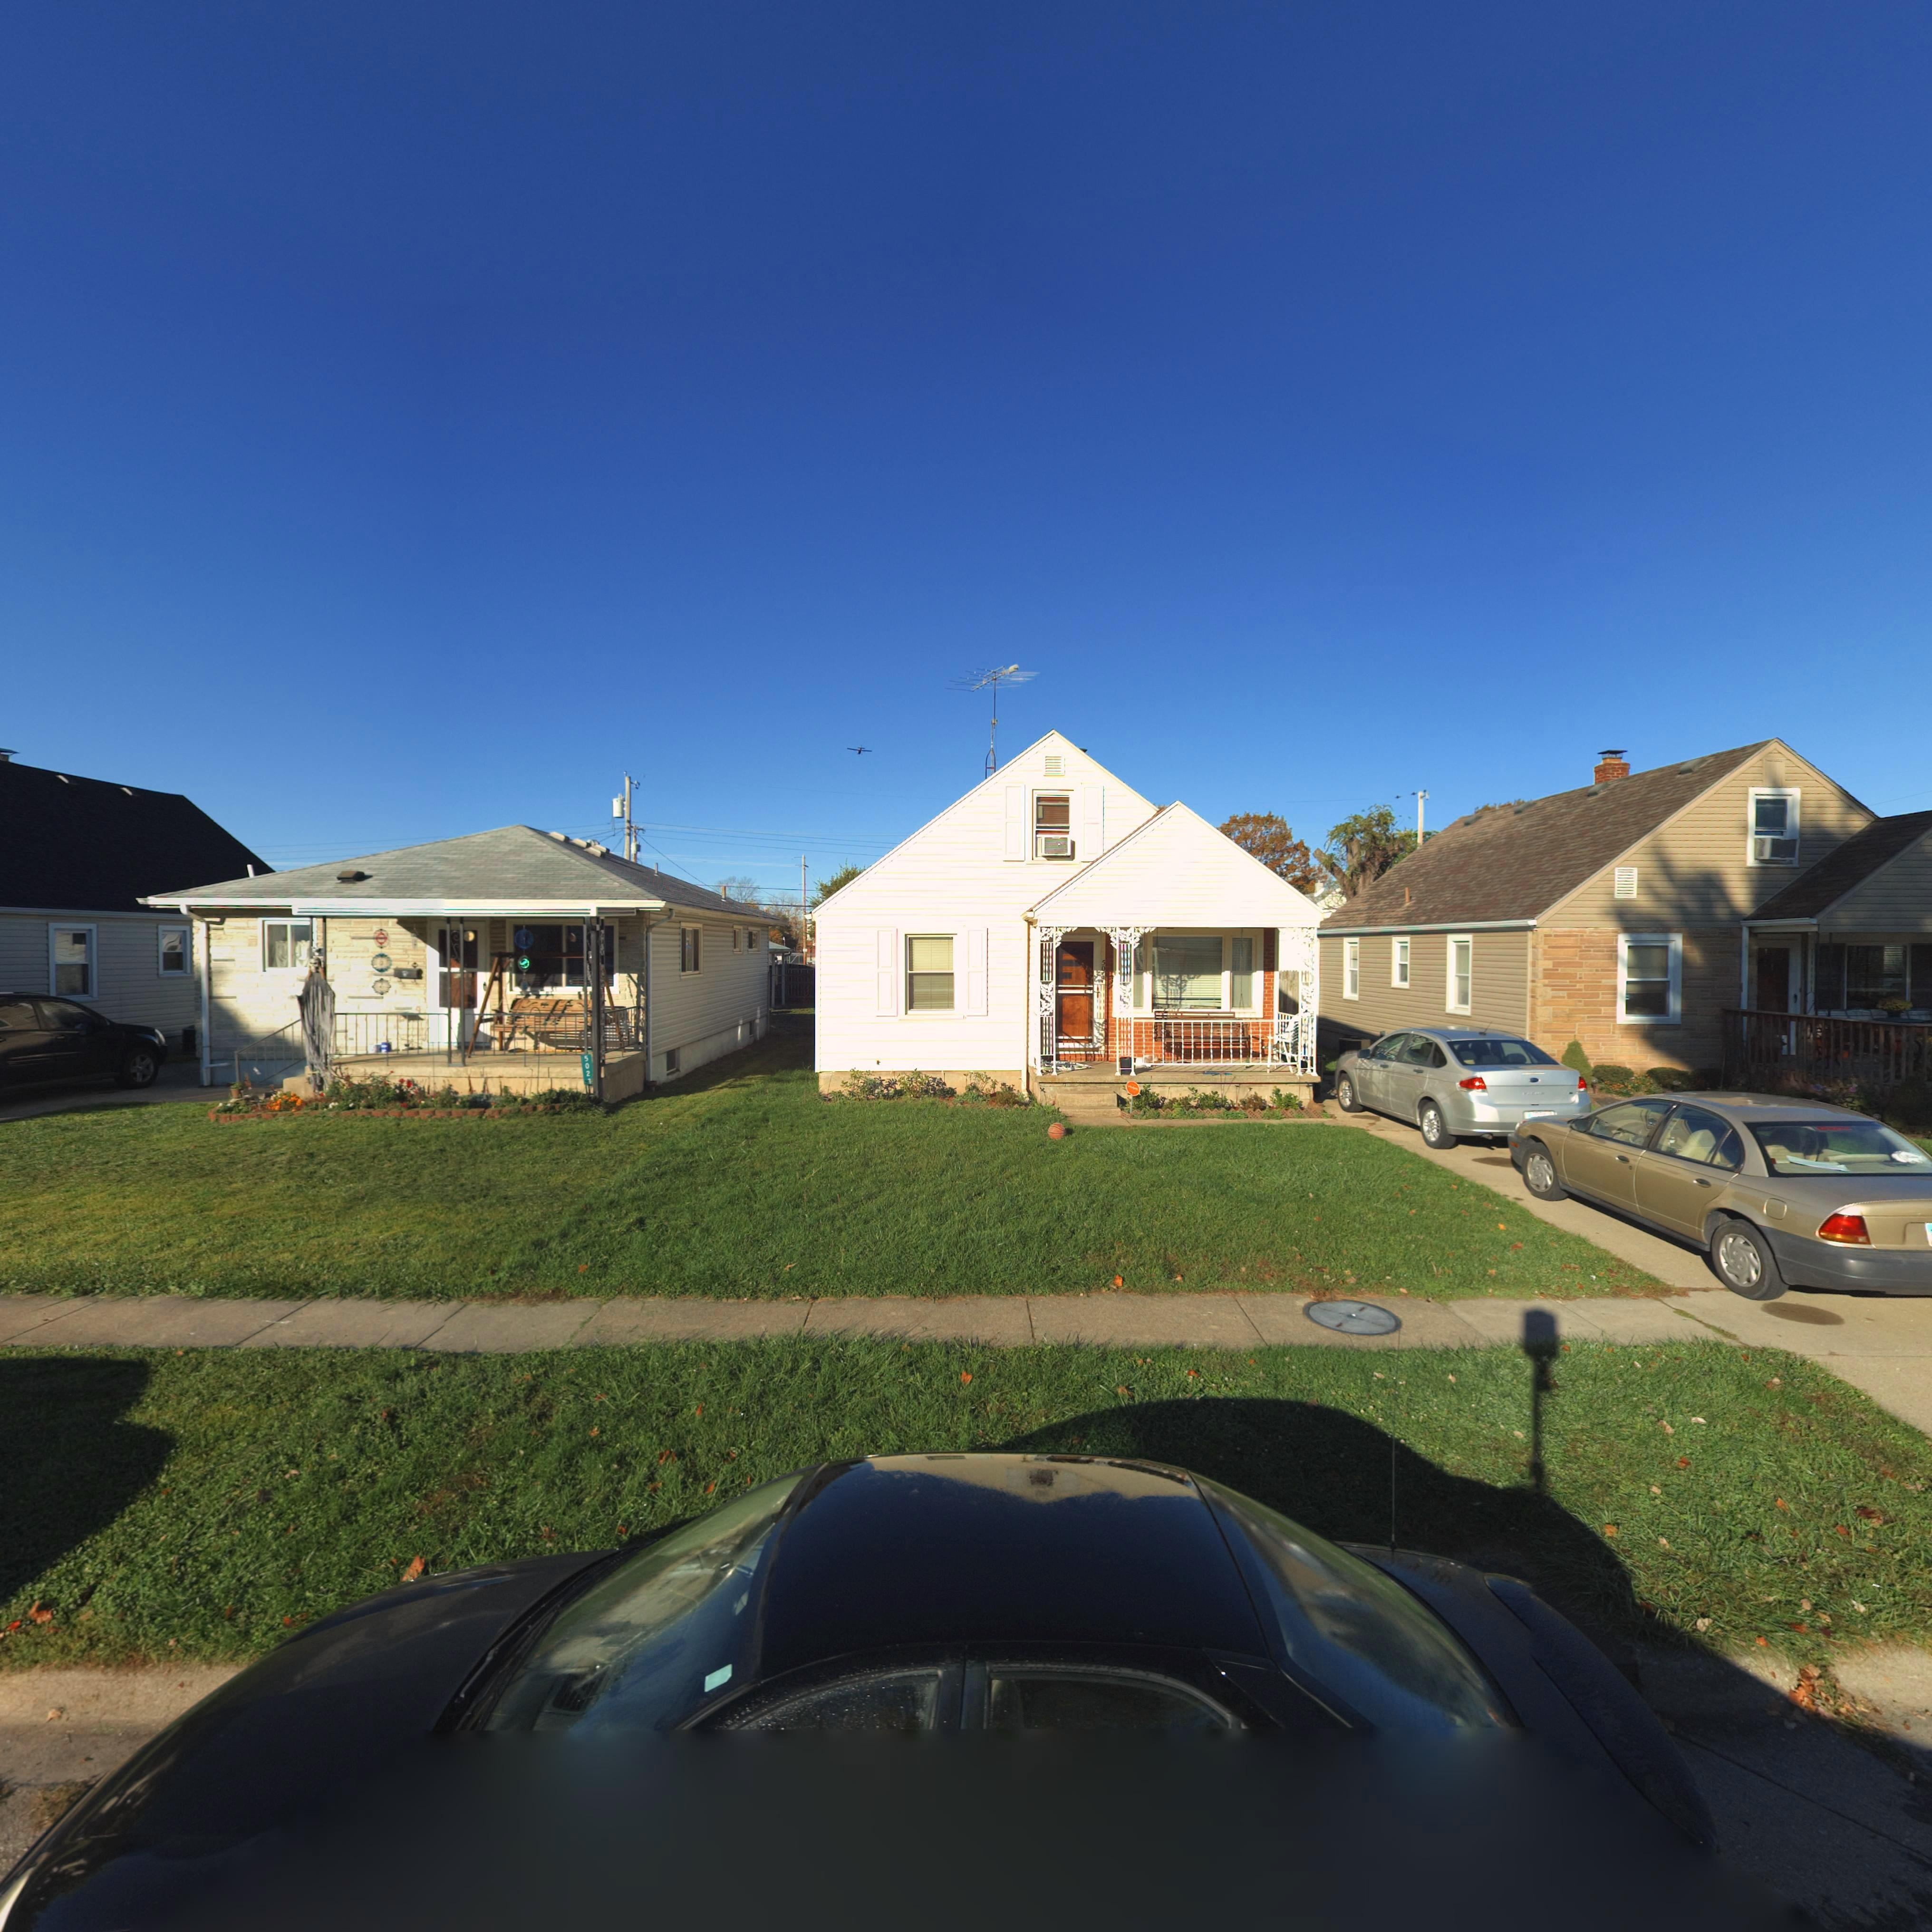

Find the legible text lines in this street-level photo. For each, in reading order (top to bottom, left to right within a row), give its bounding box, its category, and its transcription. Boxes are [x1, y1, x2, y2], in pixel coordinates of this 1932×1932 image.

[1101, 959, 1106, 980] StreetNumber: 50**
[583, 1054, 592, 1085] StreetNumber: 5023